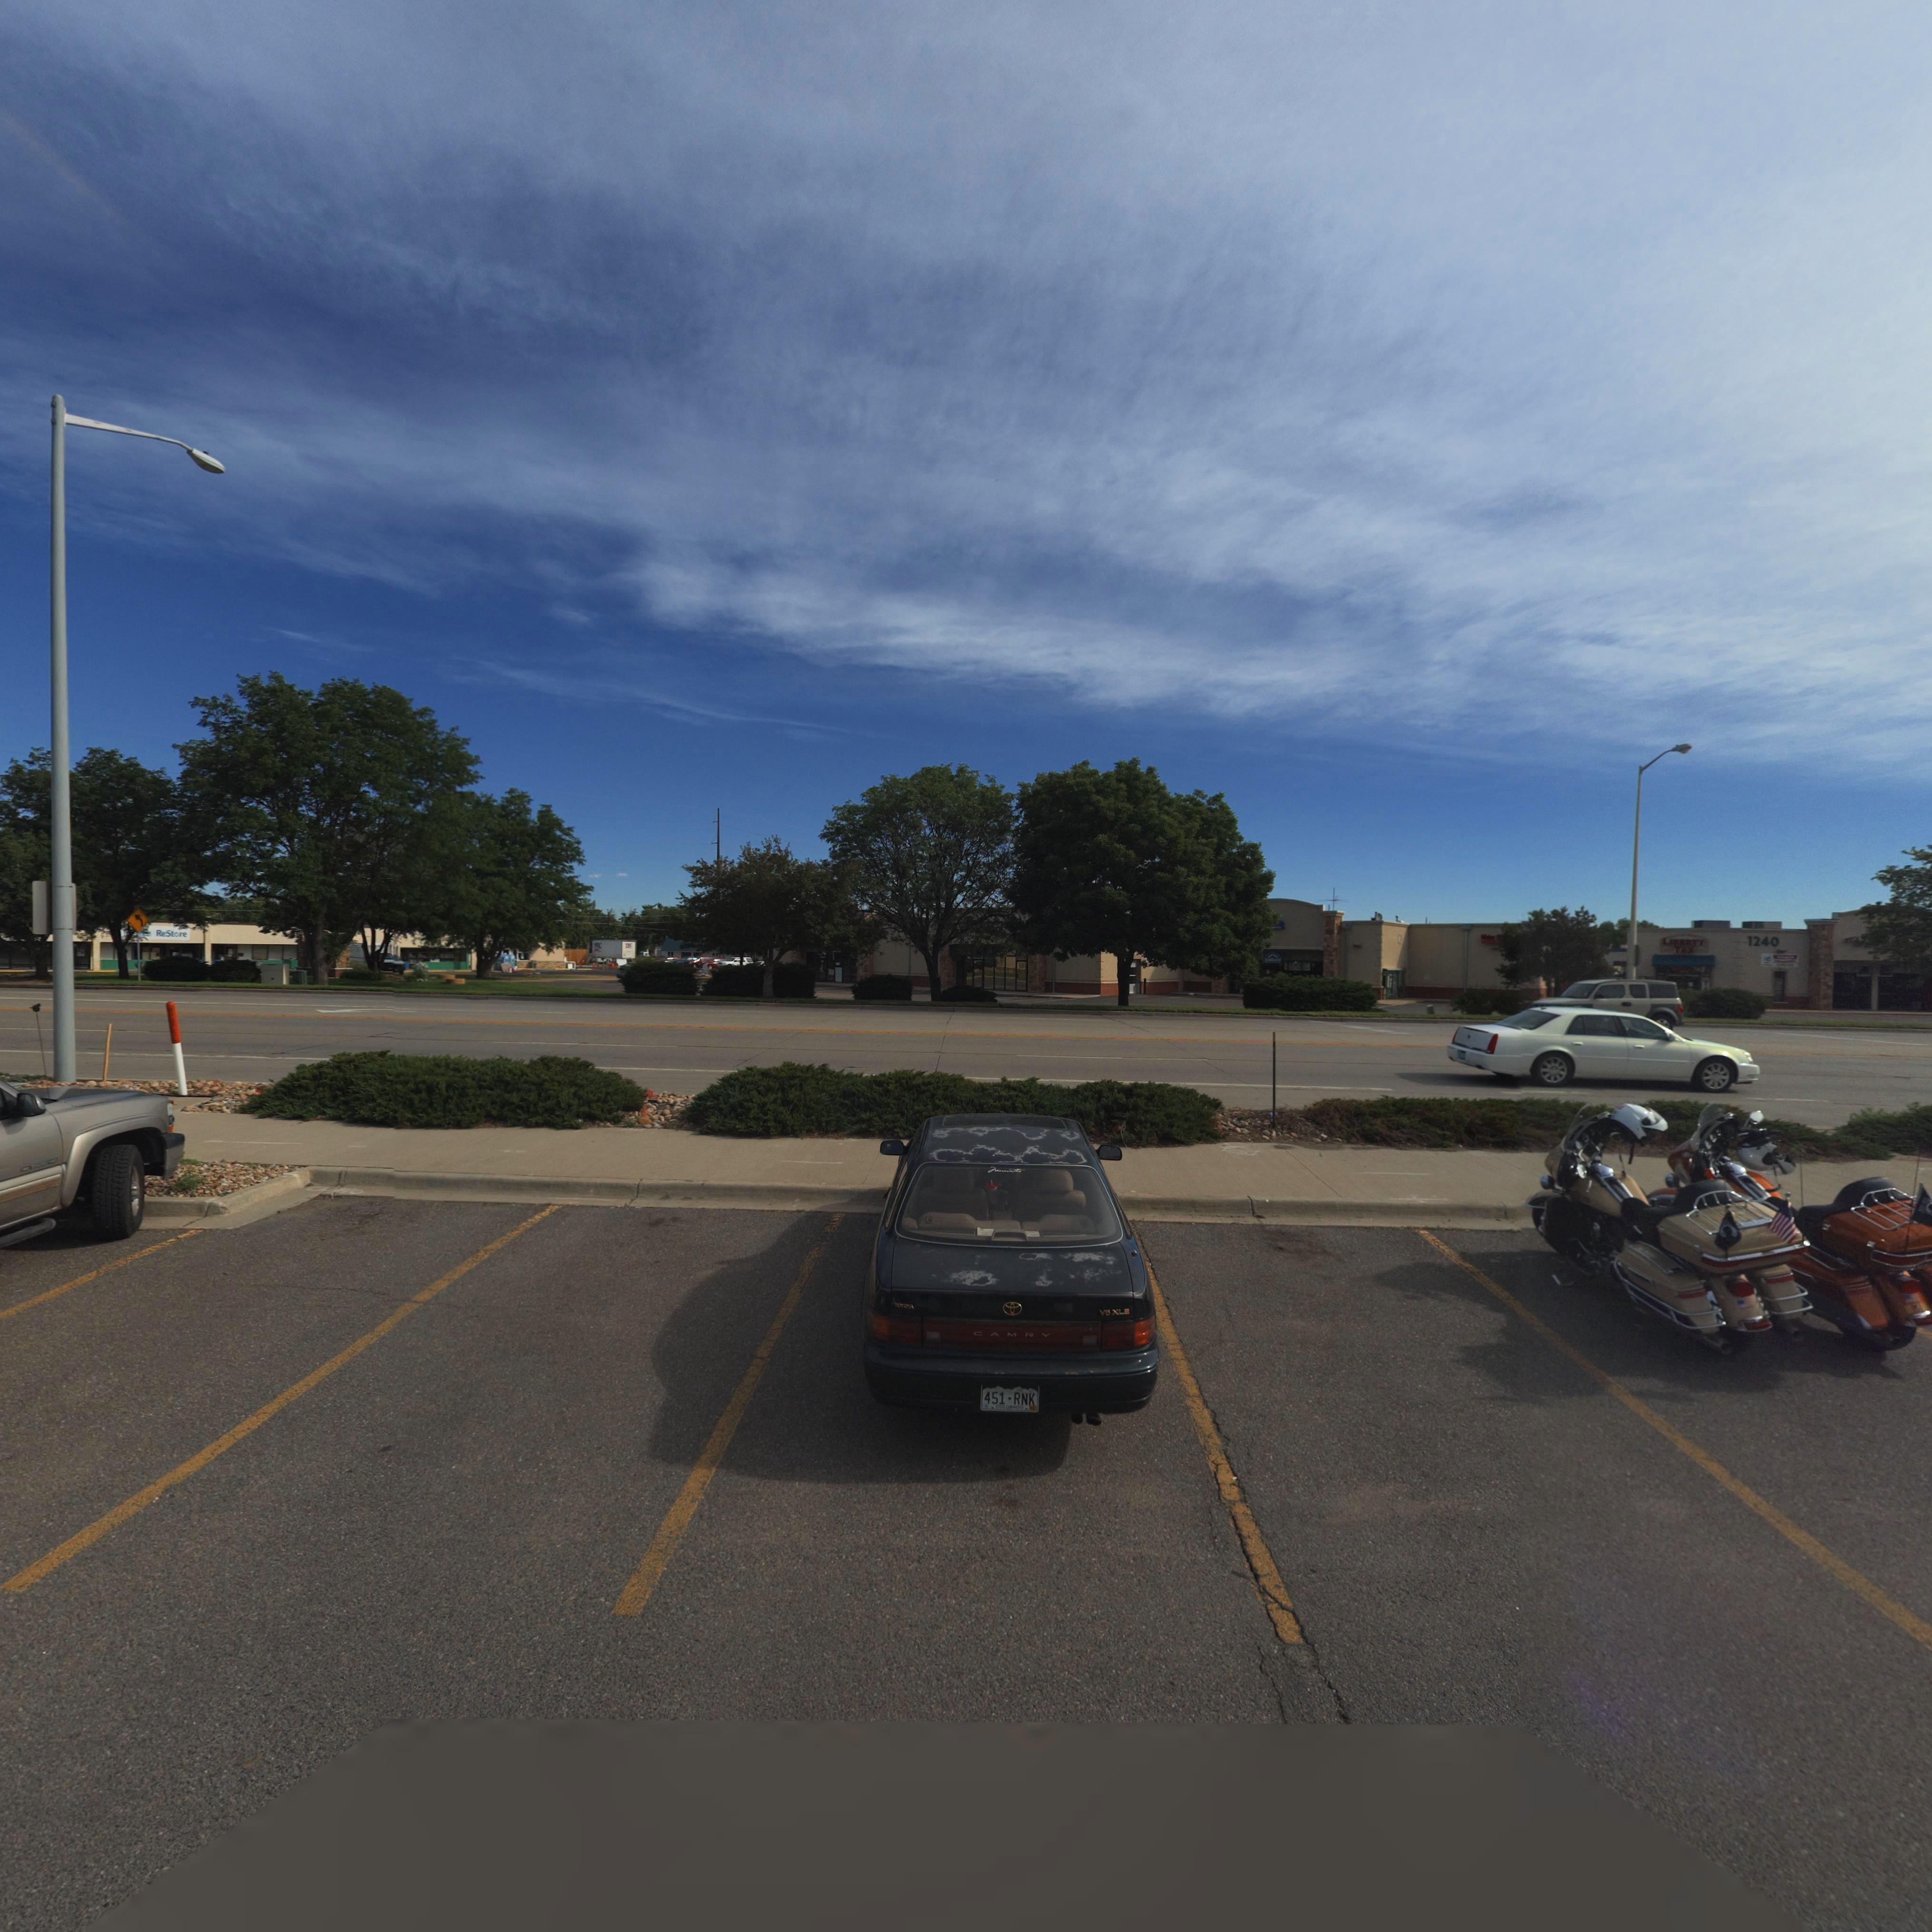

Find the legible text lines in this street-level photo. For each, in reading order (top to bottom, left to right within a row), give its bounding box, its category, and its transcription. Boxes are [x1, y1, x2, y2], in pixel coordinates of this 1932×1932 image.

[155, 929, 187, 937] BusinessName: ReStore
[1662, 937, 1705, 947] BusinessName: LIB*RTY
[1747, 935, 1779, 947] StreetNumber: 1240
[1673, 946, 1695, 954] BusinessName: TAX
[1703, 980, 1709, 989] BusinessName: T*